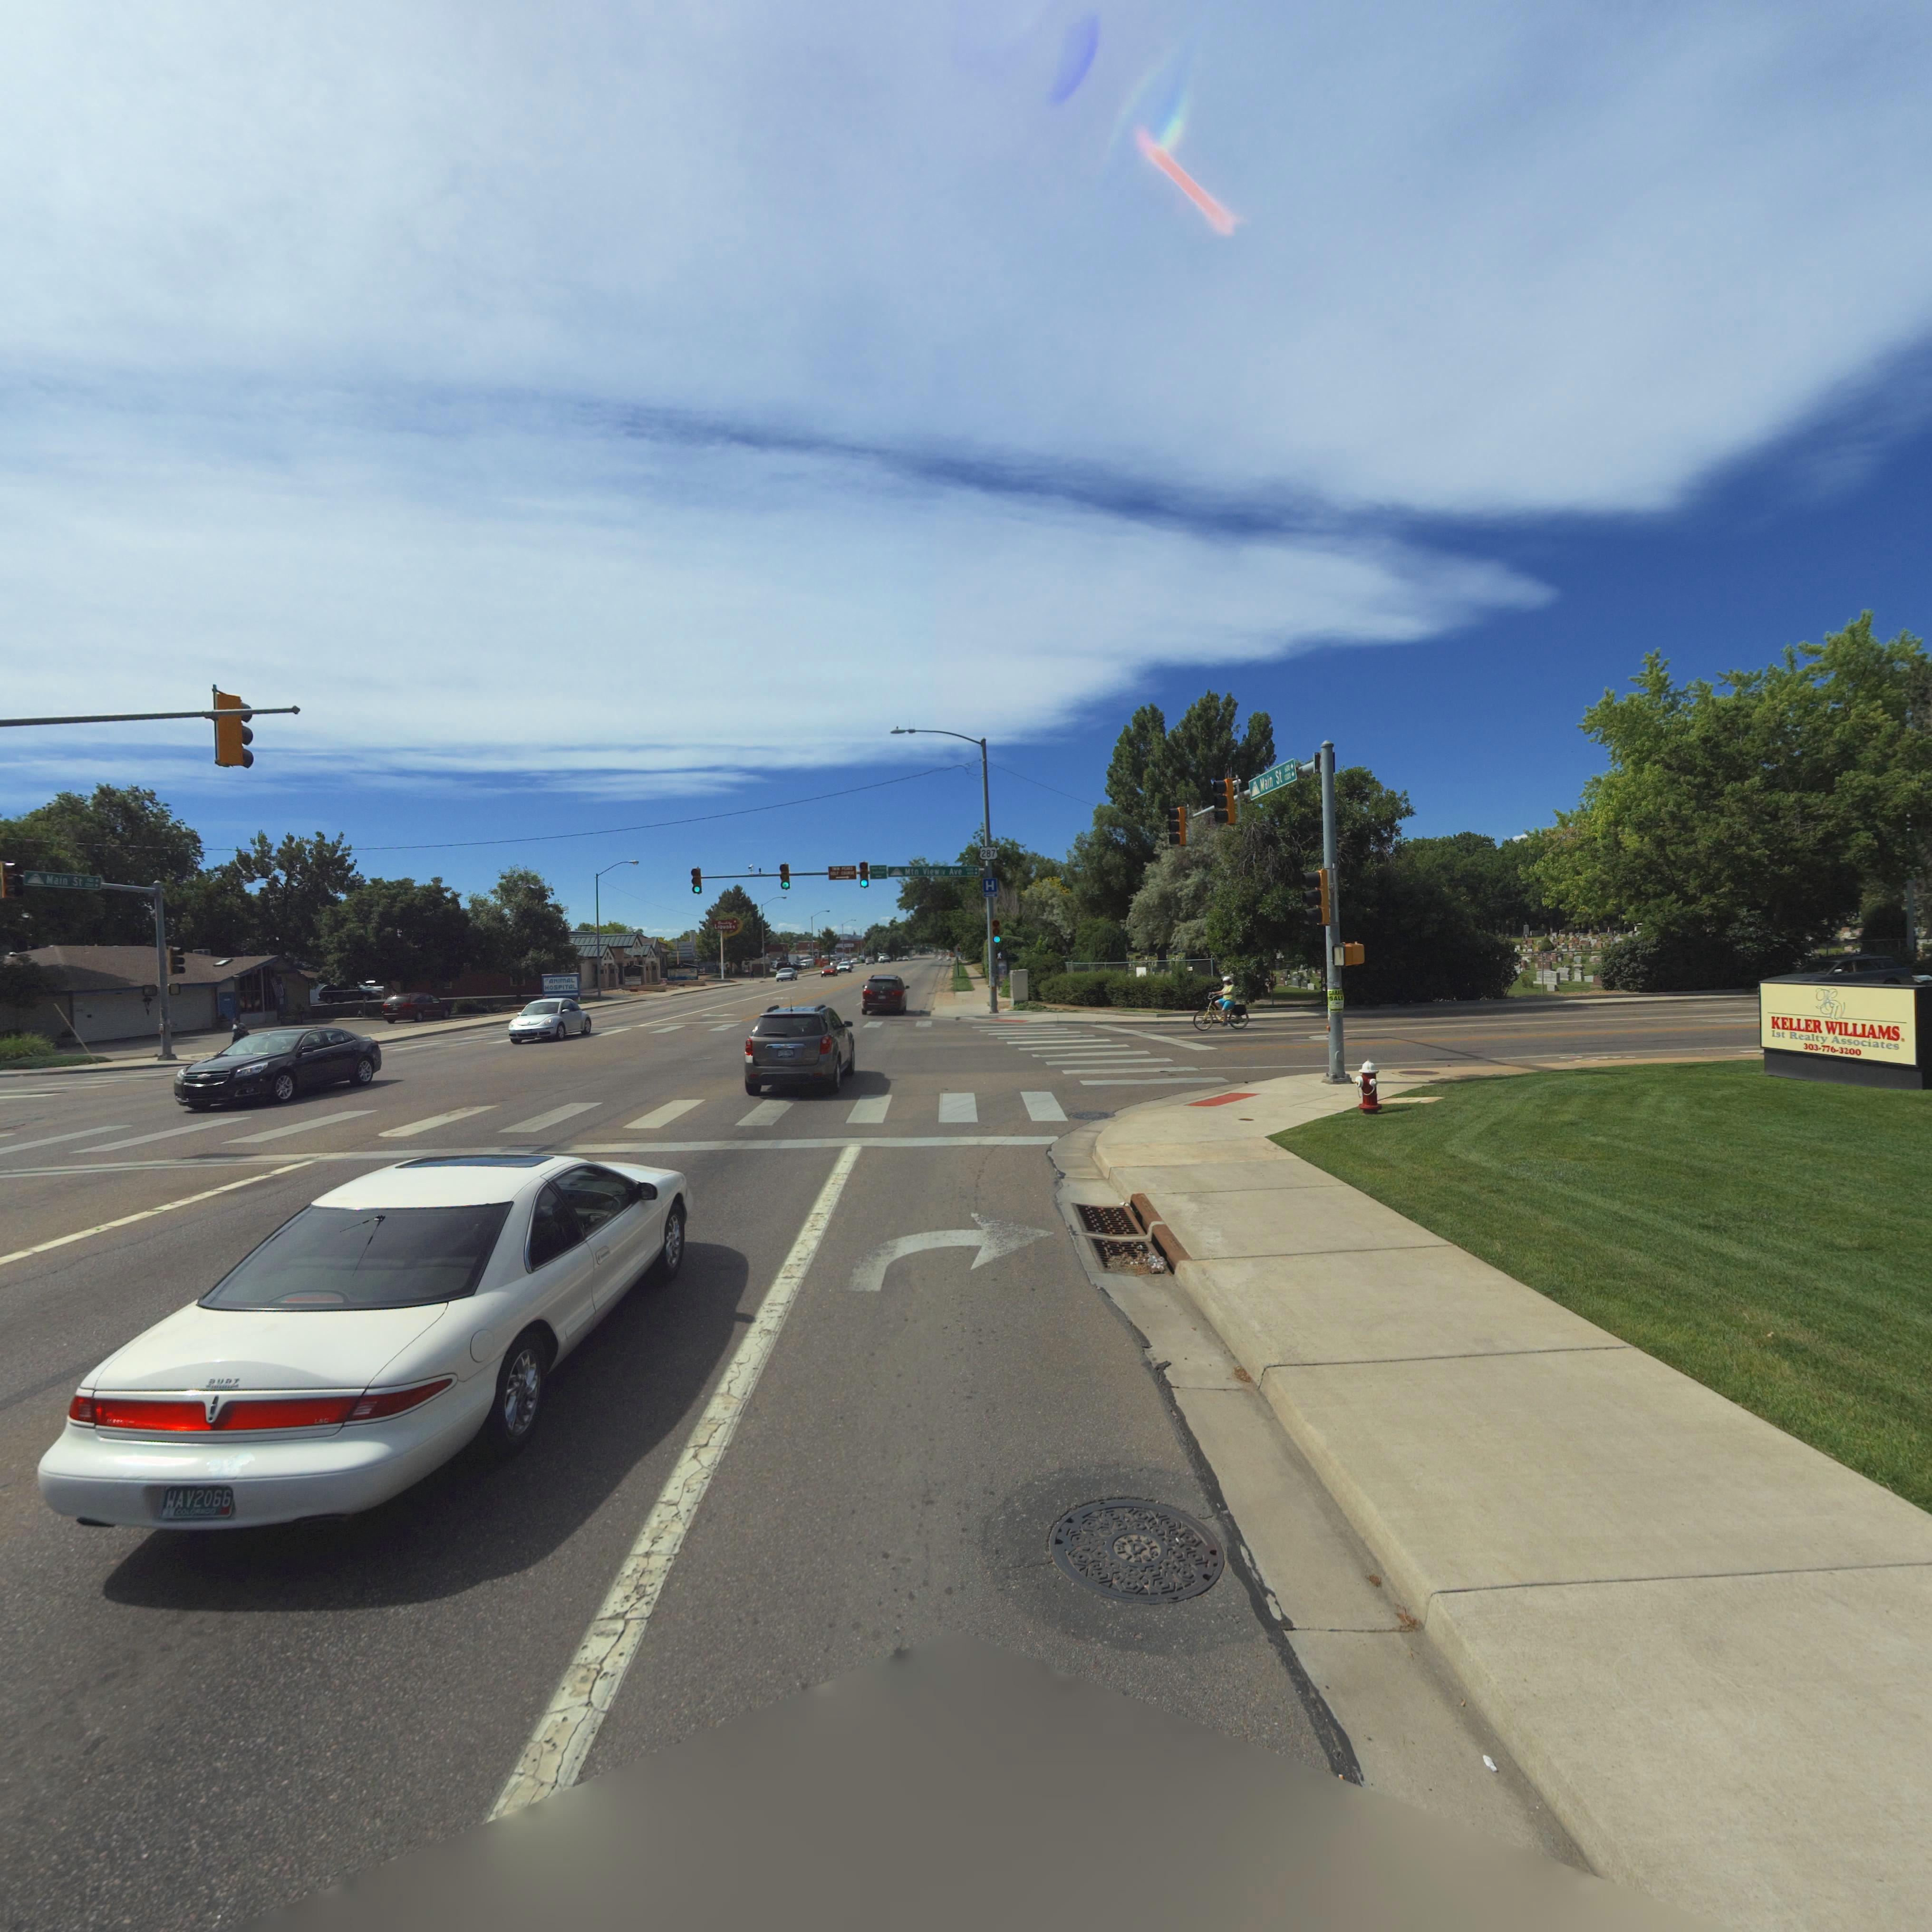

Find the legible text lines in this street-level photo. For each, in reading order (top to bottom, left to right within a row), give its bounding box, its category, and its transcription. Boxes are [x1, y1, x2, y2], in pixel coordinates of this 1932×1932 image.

[1283, 763, 1290, 773] StreetNumberRange: *0*
[1259, 768, 1283, 792] StreetName: *ain St
[1284, 771, 1292, 781] StreetNumberRange: ***0
[904, 867, 962, 876] StreetName: Mtn View* Ave
[45, 874, 82, 887] StreetName: Main St
[714, 923, 735, 929] BusinessName: Liquo**
[549, 977, 575, 984] BusinessName: ANIMAL 
[544, 984, 578, 990] BusinessName: HOSPITAL
[1770, 1016, 1901, 1042] BusinessName: KELLER WILLIAMS
[1771, 1030, 1900, 1050] BusinessName: 1st Realty Associates